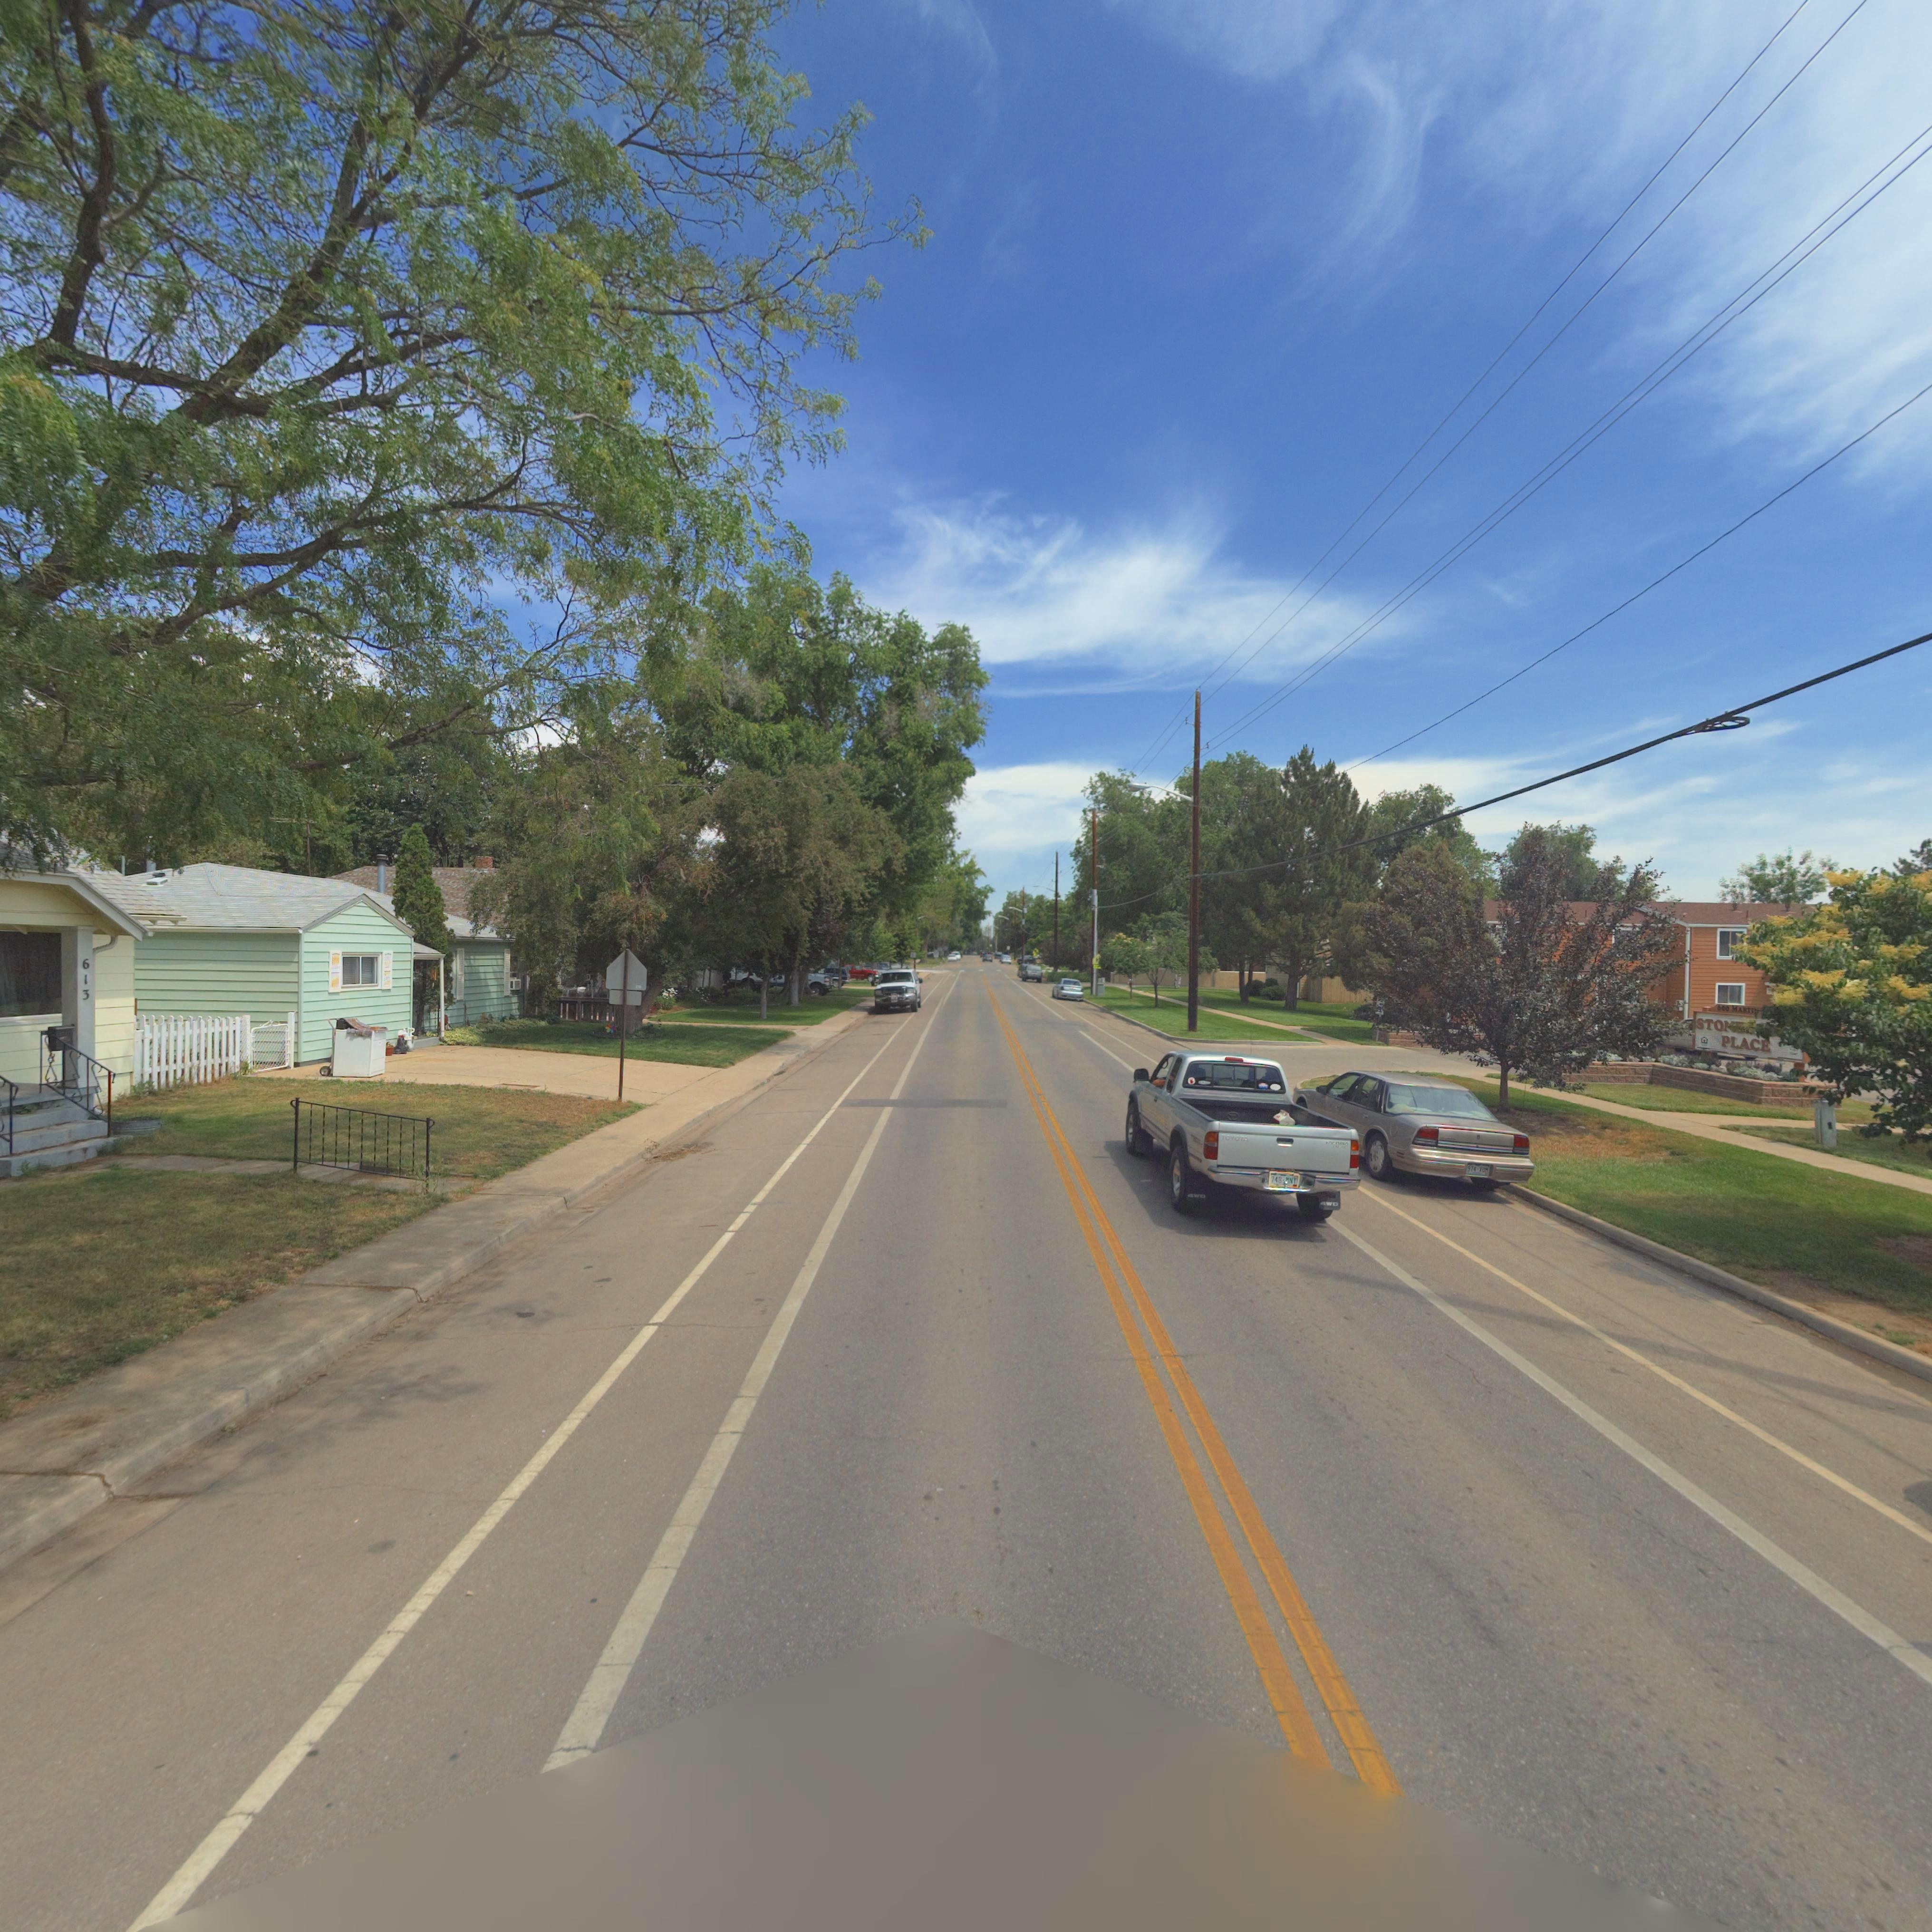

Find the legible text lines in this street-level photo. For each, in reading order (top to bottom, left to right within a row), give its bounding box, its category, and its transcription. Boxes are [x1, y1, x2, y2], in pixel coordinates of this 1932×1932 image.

[82, 958, 90, 1000] StreetNumber: 613
[1717, 1004, 1729, 1011] StreetNumber: 600
[1731, 1005, 1754, 1013] StreetName: MARTI